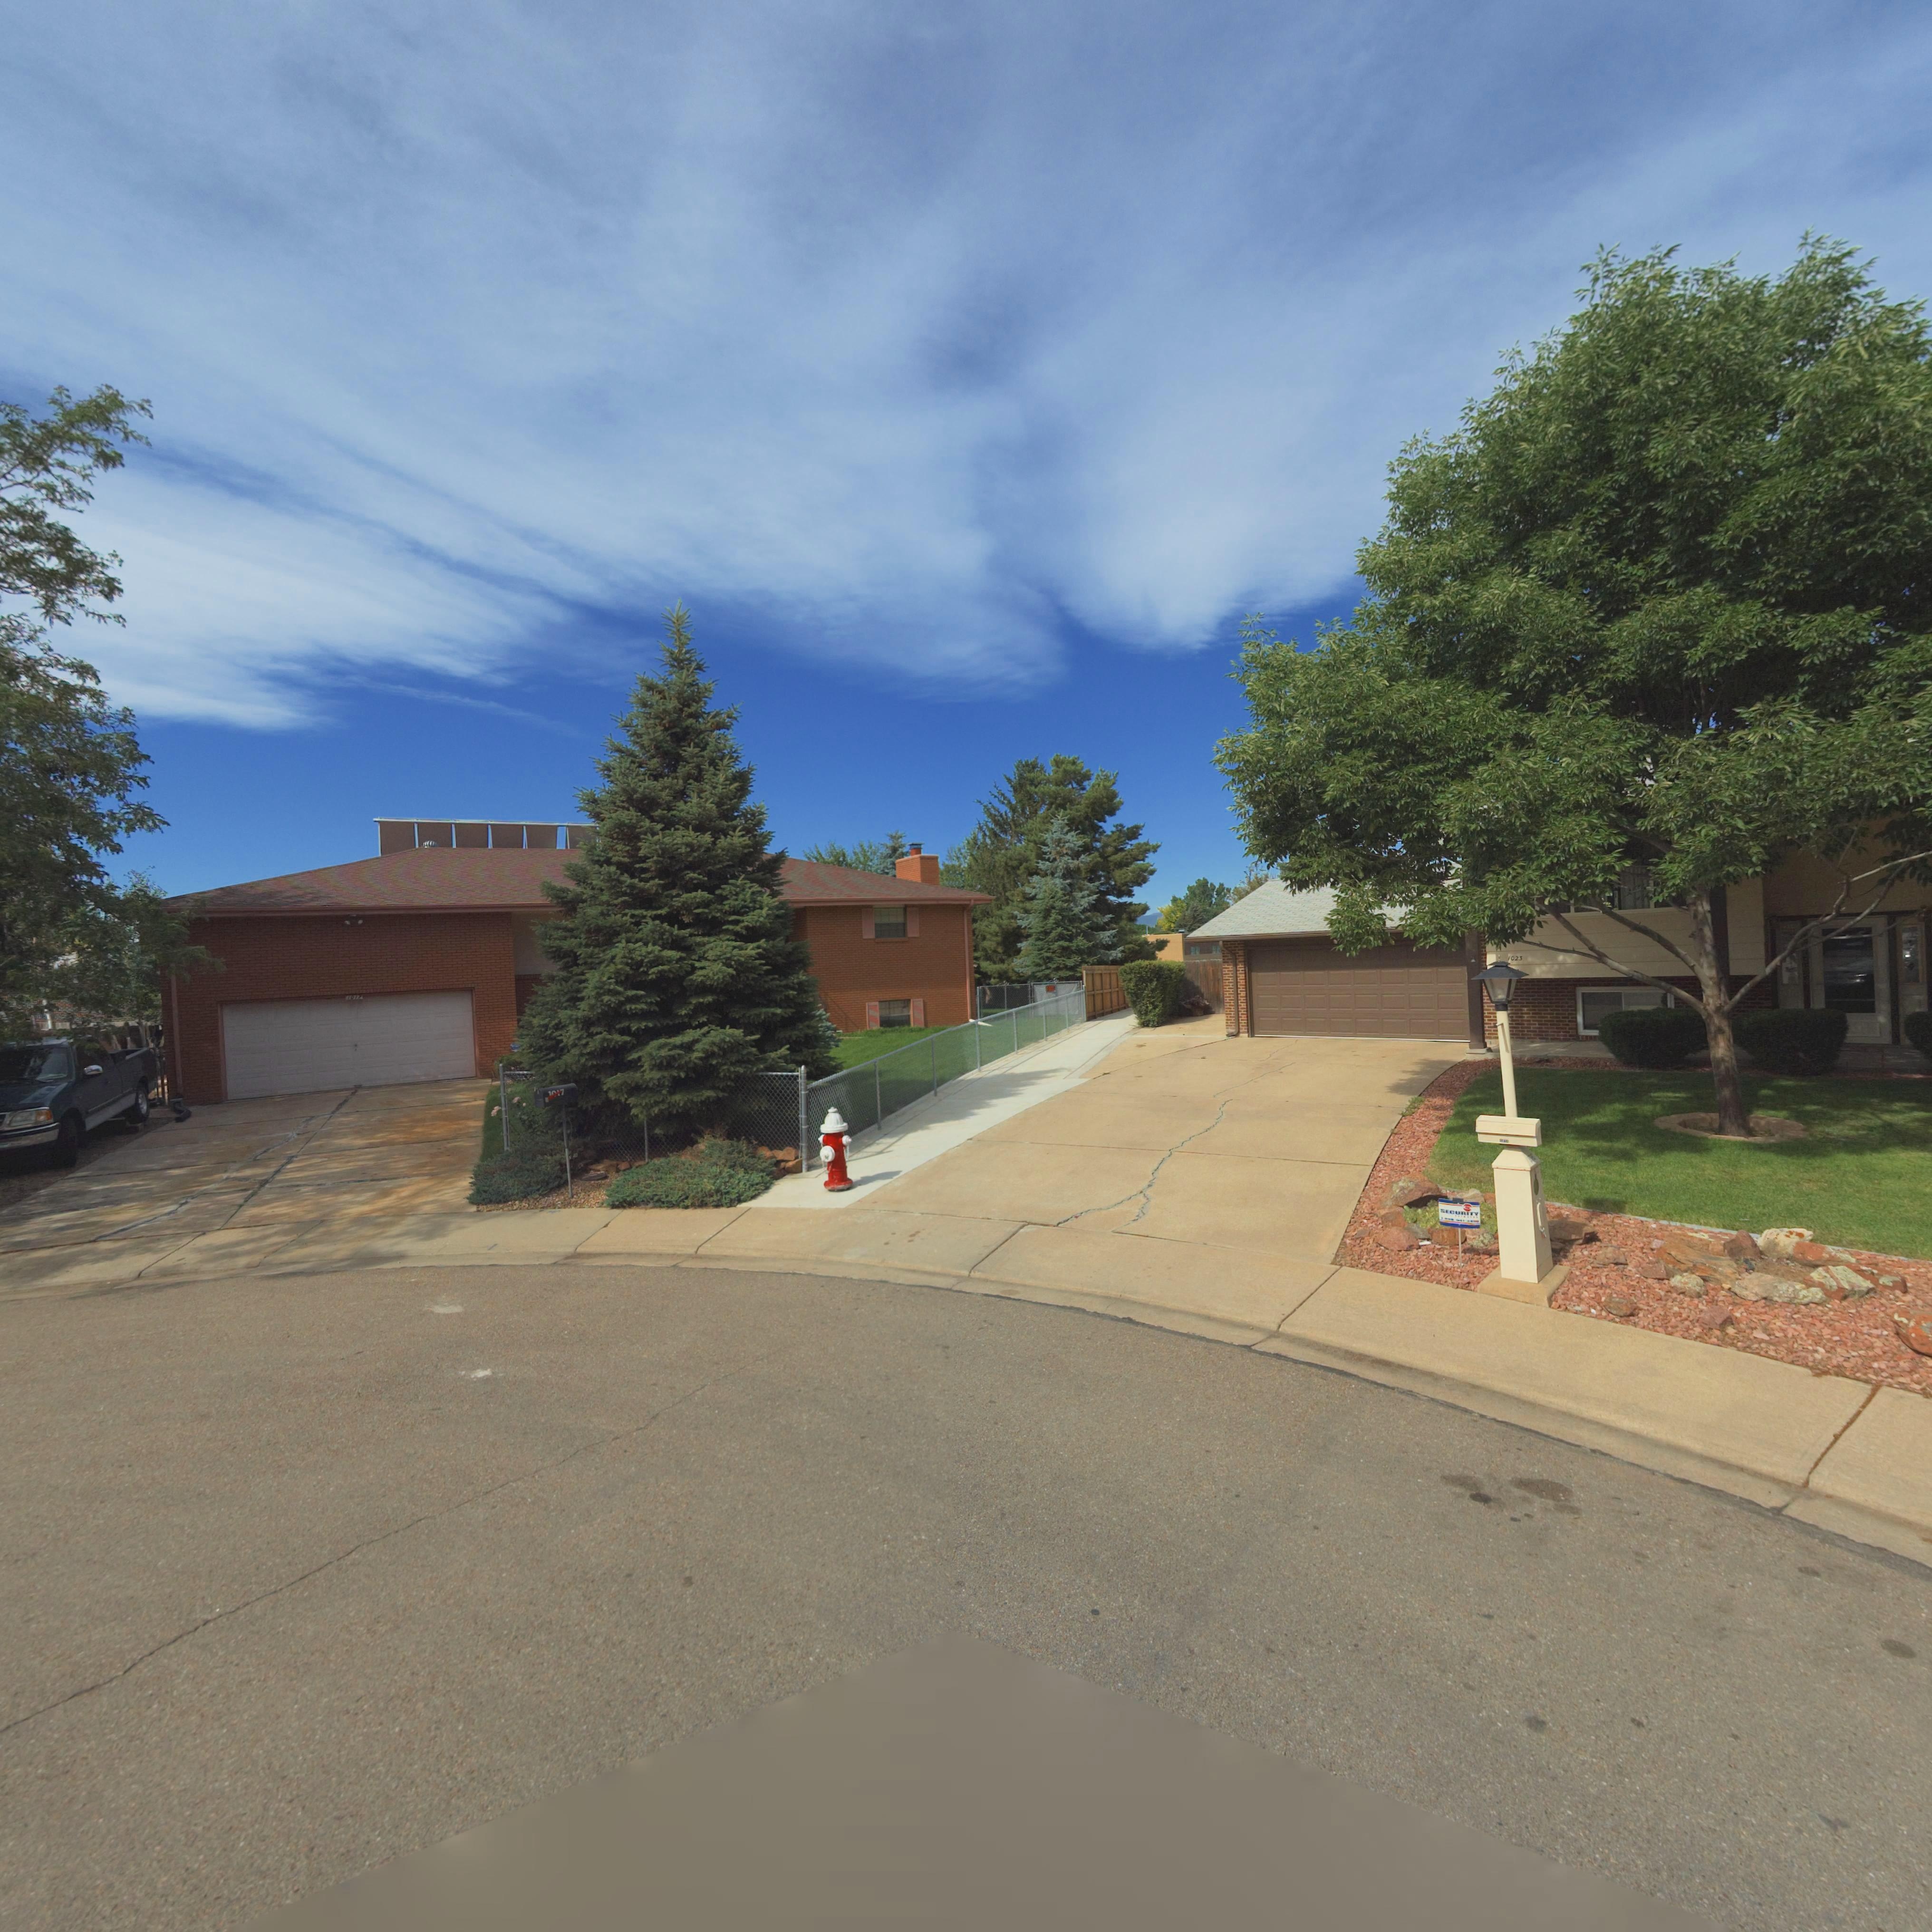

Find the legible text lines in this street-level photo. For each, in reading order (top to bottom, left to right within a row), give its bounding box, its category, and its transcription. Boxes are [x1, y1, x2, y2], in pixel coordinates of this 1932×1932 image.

[1507, 955, 1523, 960] StreetNumber: 1023
[347, 995, 362, 999] StreetNumber: 1017
[548, 1089, 564, 1098] StreetNumber: 1*17